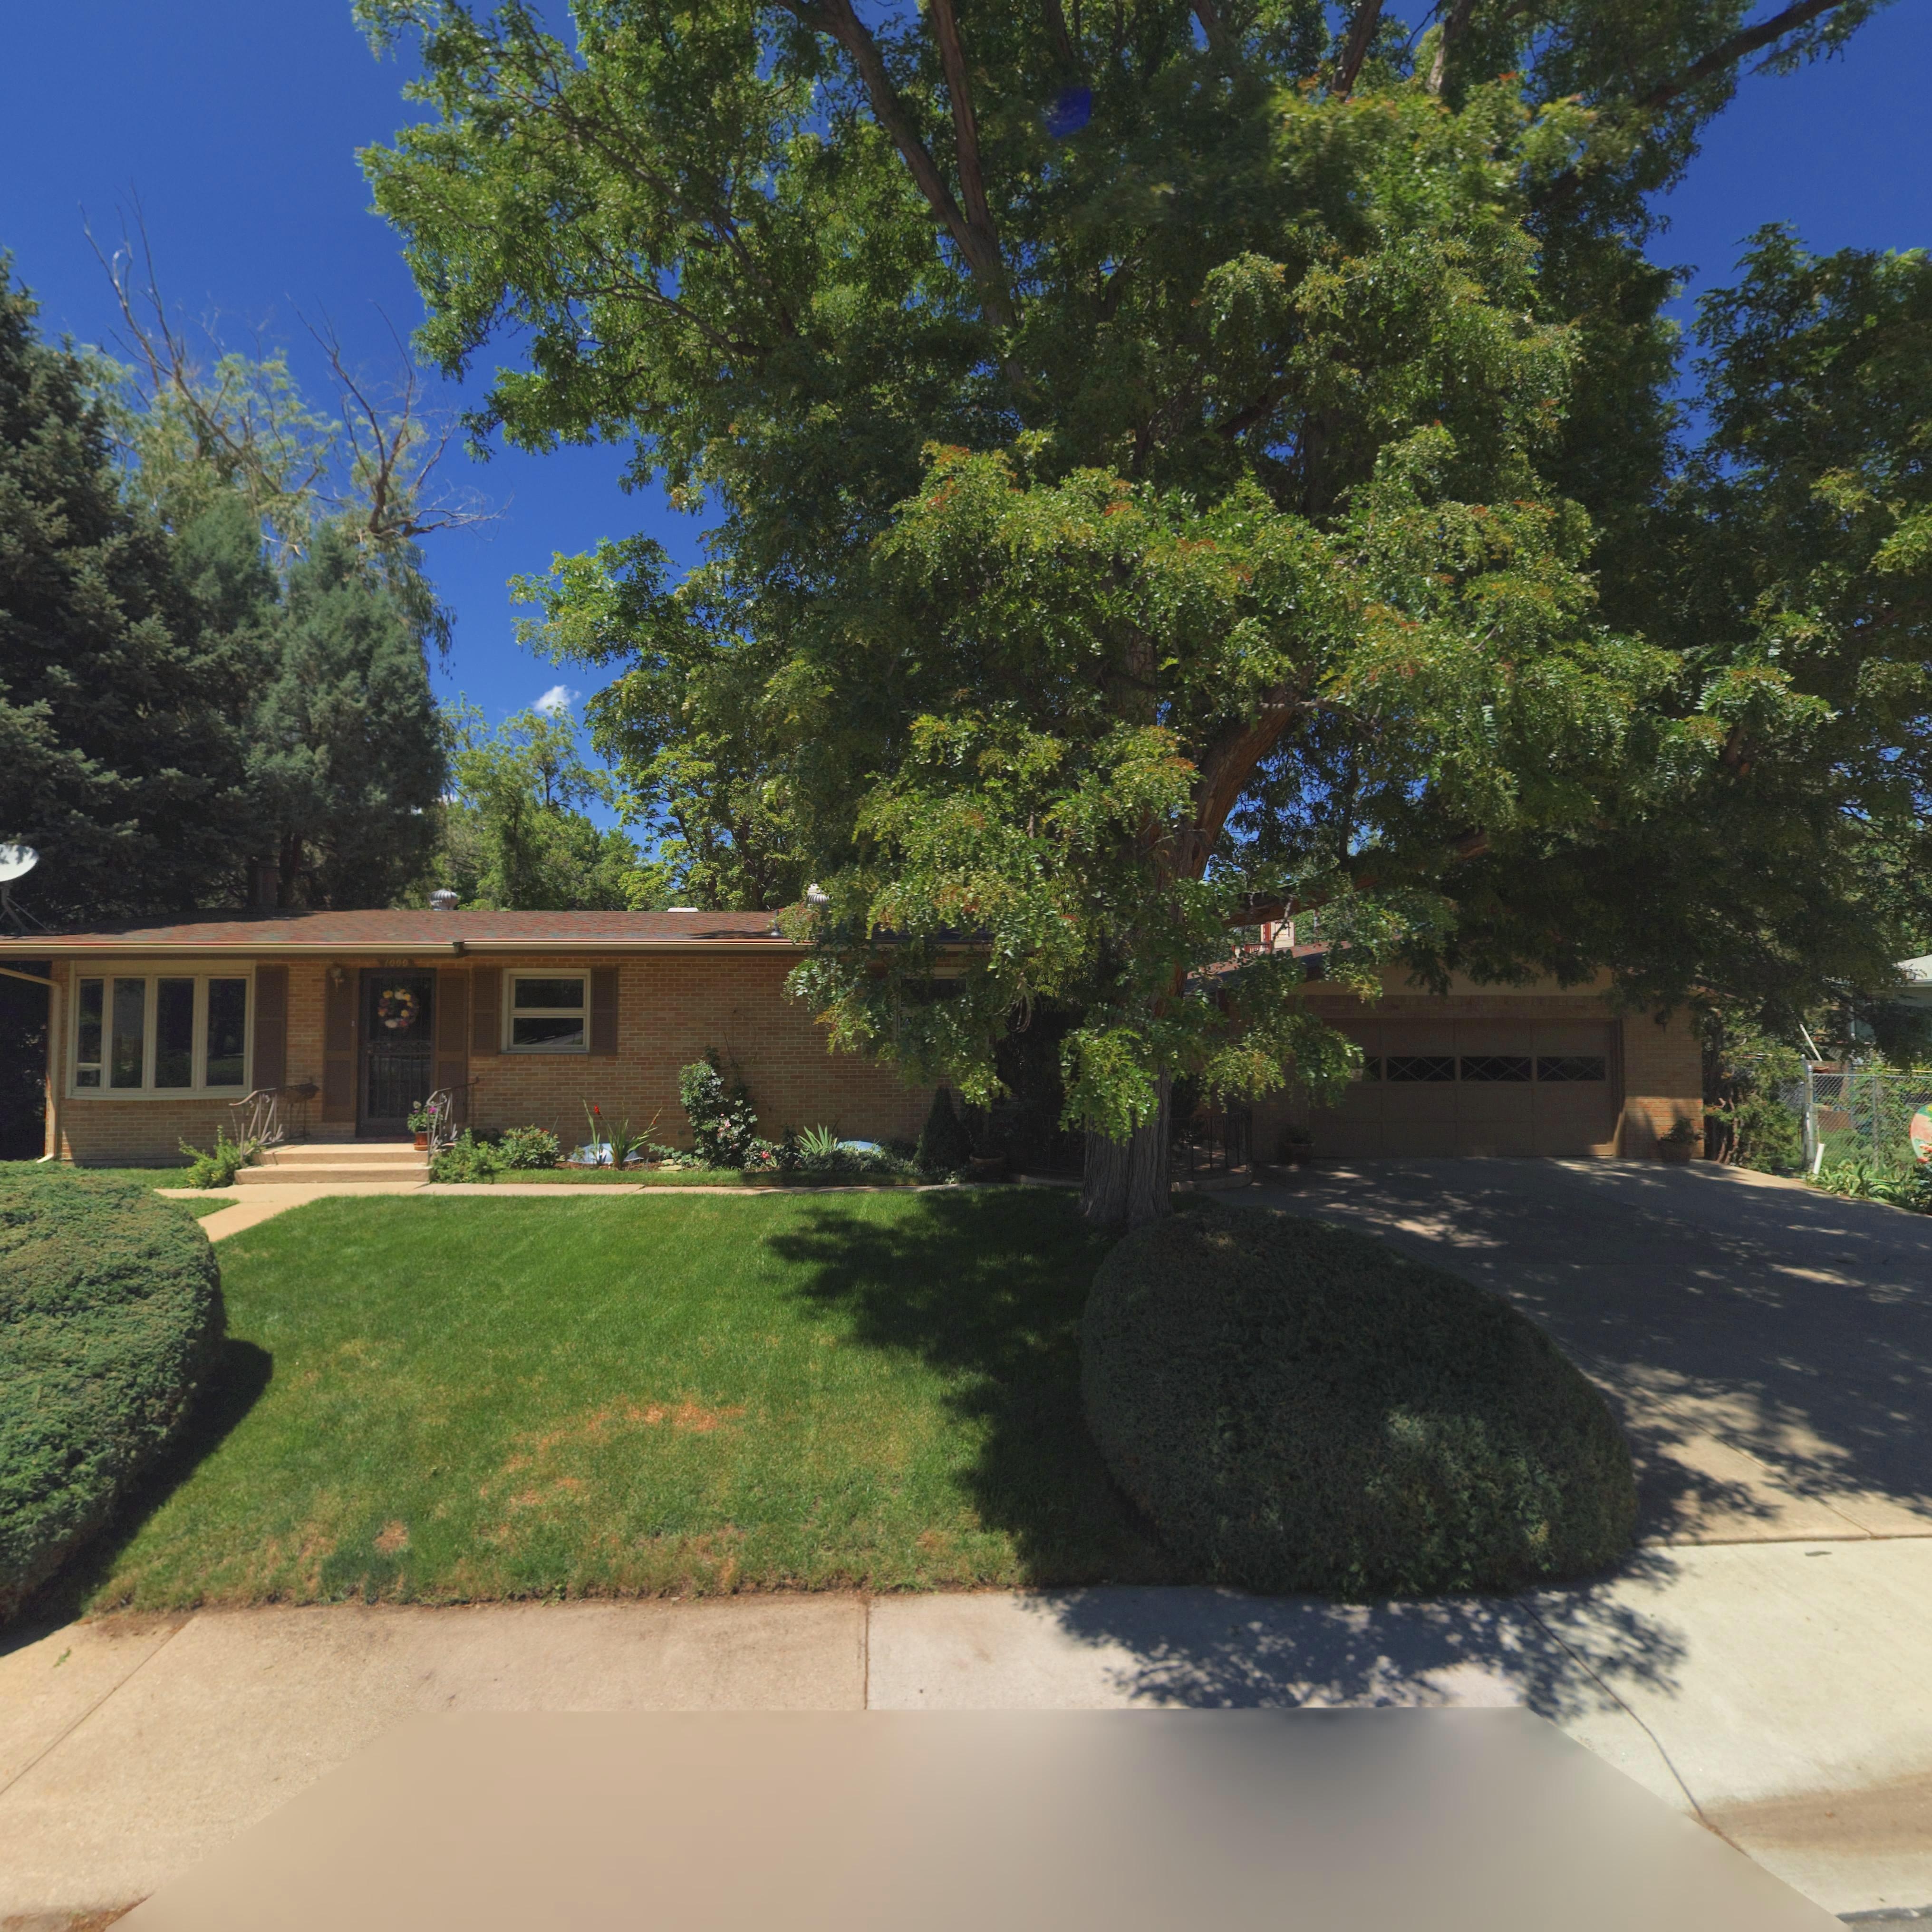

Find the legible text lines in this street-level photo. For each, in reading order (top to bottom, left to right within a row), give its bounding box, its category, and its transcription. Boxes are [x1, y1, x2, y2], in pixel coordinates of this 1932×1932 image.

[383, 957, 408, 967] StreetNumber: 1000